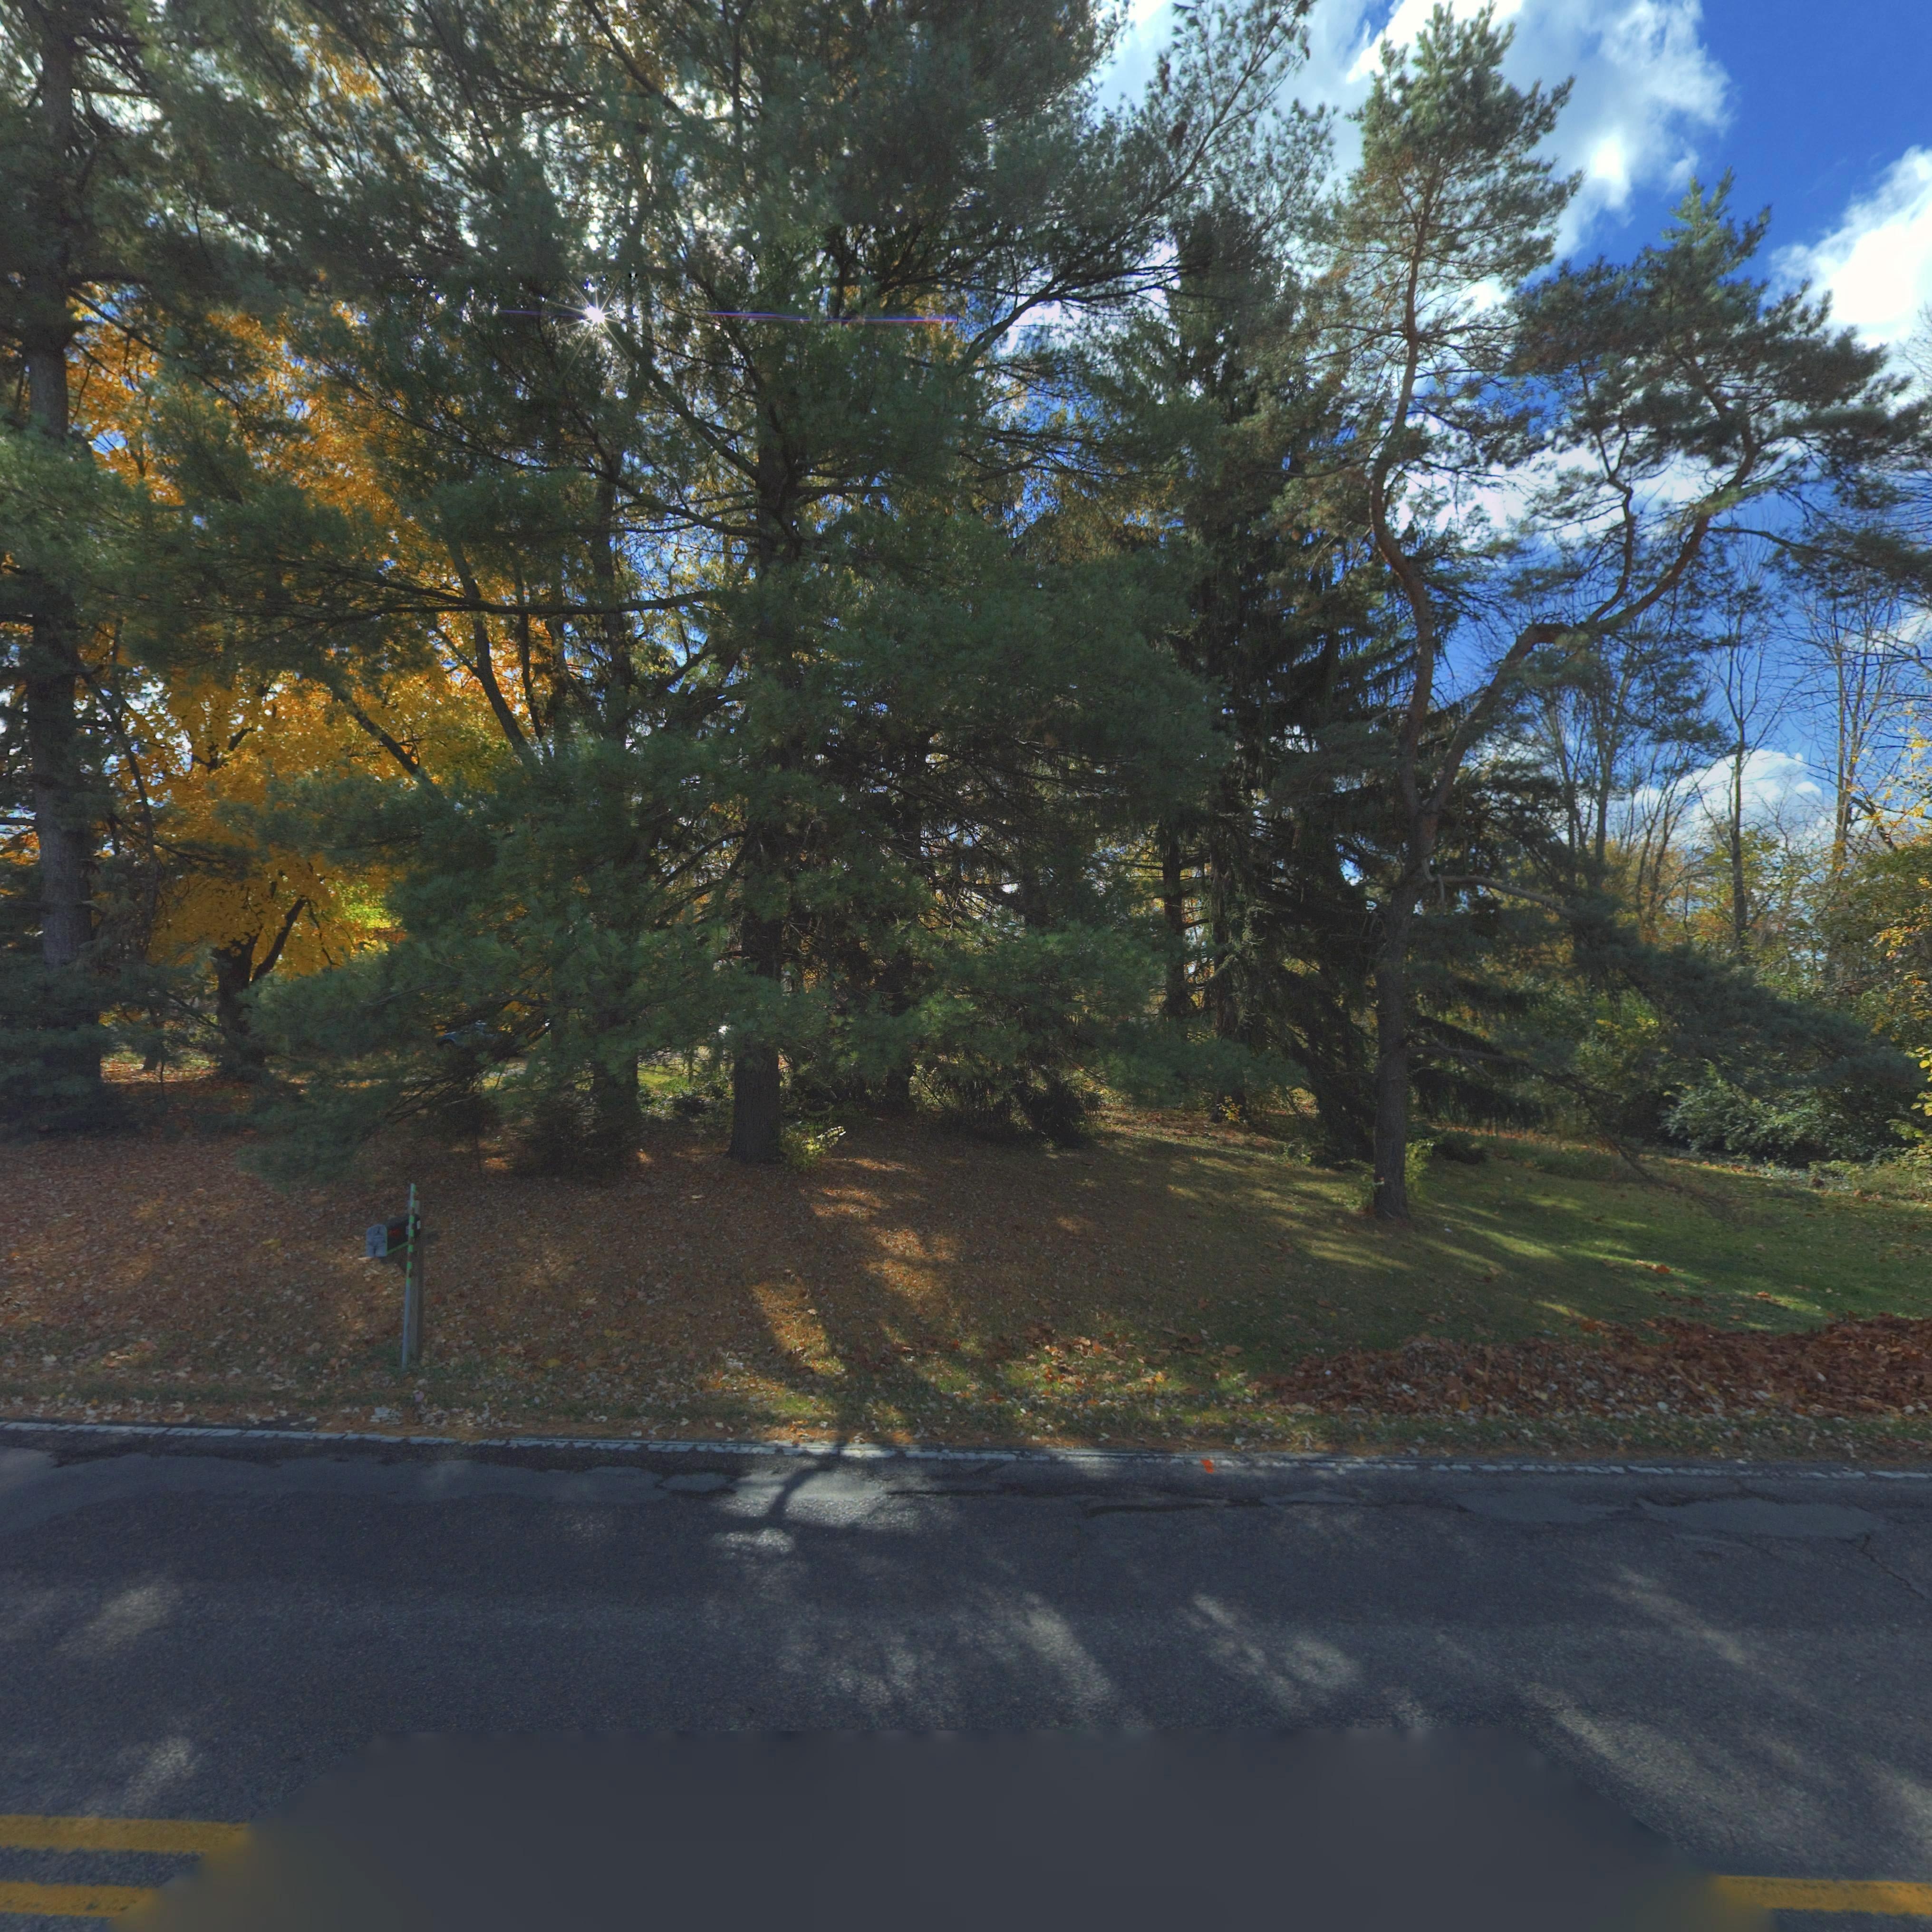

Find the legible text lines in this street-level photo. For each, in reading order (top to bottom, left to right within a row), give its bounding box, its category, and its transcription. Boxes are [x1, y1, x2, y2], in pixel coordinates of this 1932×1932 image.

[406, 1220, 421, 1235] StreetNumber: 6**1